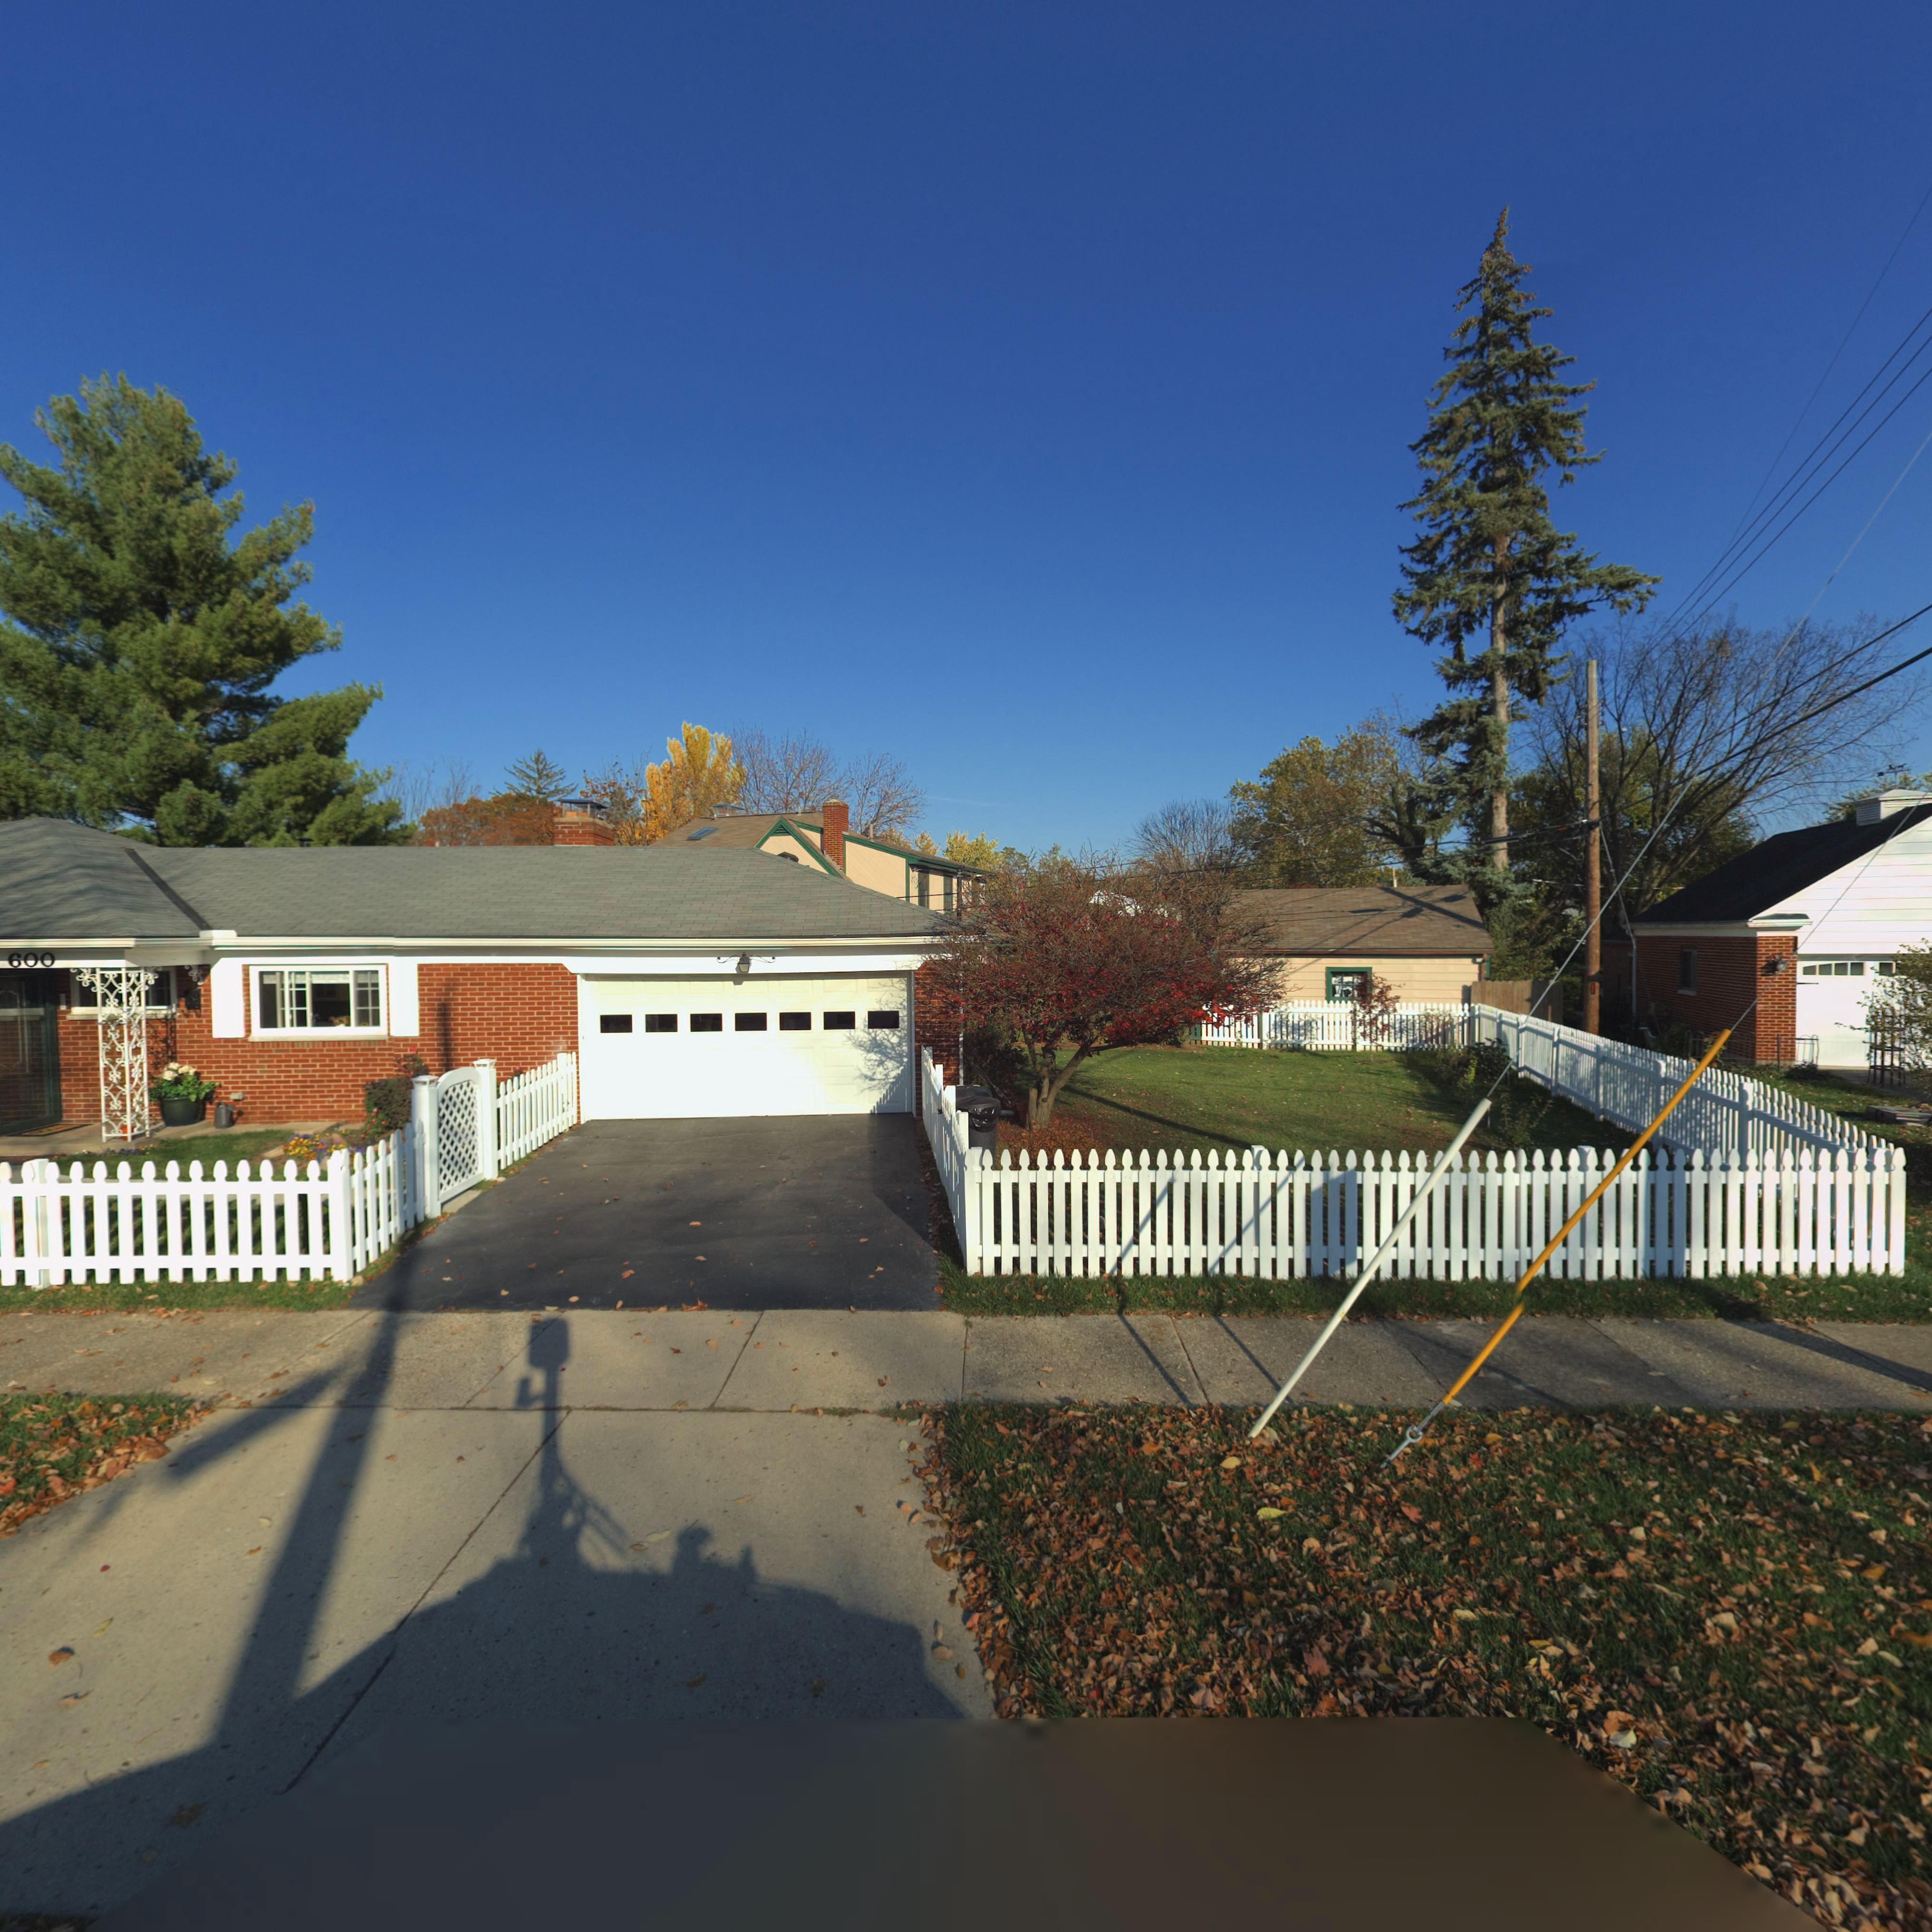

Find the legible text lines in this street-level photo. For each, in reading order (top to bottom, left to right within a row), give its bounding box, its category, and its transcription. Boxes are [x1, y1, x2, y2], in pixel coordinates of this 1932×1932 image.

[7, 952, 56, 968] StreetNumber: 600